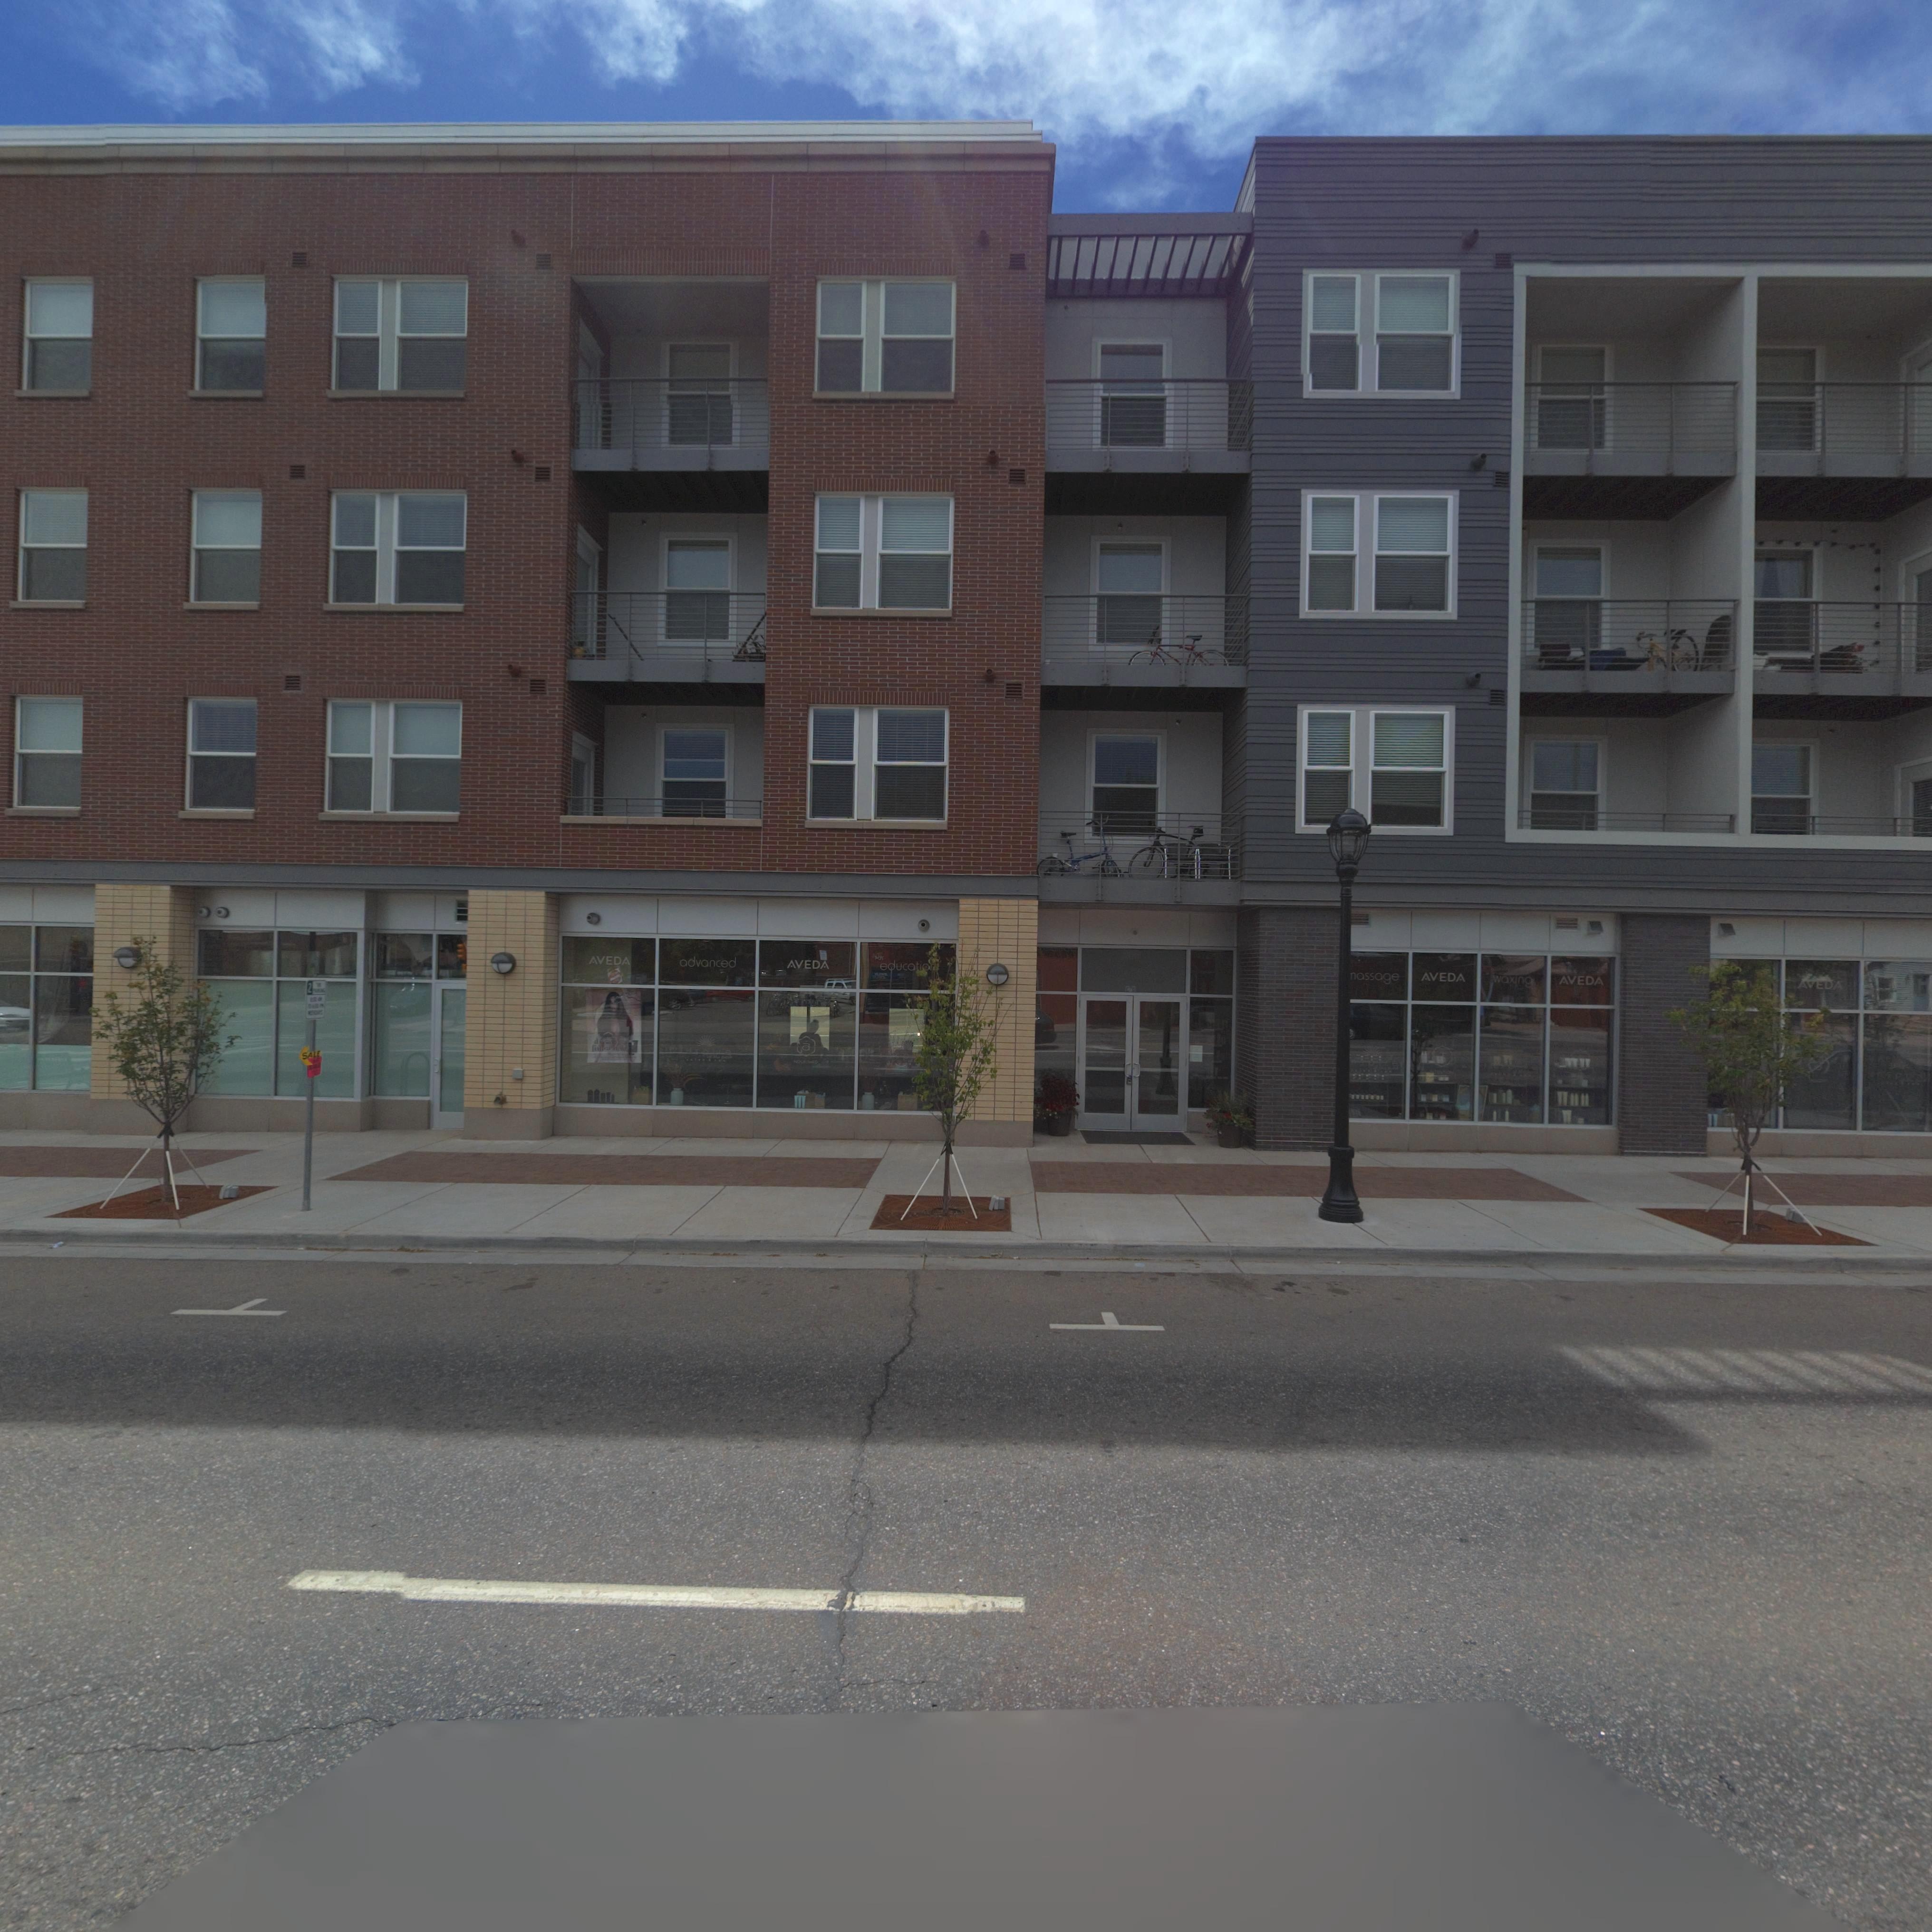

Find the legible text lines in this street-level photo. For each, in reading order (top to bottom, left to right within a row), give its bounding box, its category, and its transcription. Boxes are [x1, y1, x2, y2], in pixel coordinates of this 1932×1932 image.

[689, 1047, 734, 1059] StreetNumber: inspire
[895, 1053, 909, 1062] BusinessName: sp
[1359, 1059, 1398, 1069] BusinessName: sp**e